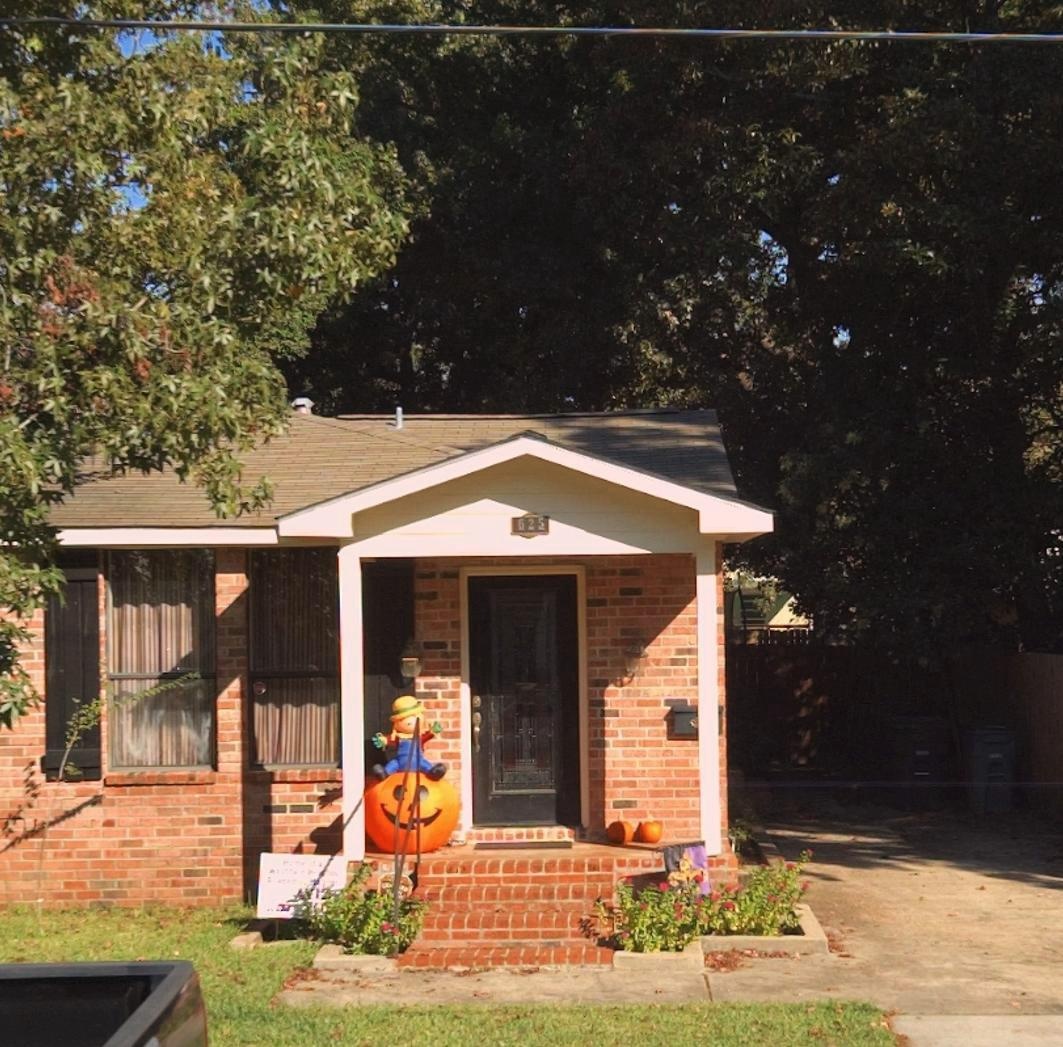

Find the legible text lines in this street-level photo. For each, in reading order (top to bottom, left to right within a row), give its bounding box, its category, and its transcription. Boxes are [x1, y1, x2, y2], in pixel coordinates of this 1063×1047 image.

[515, 515, 548, 533] StreetNumber: 625